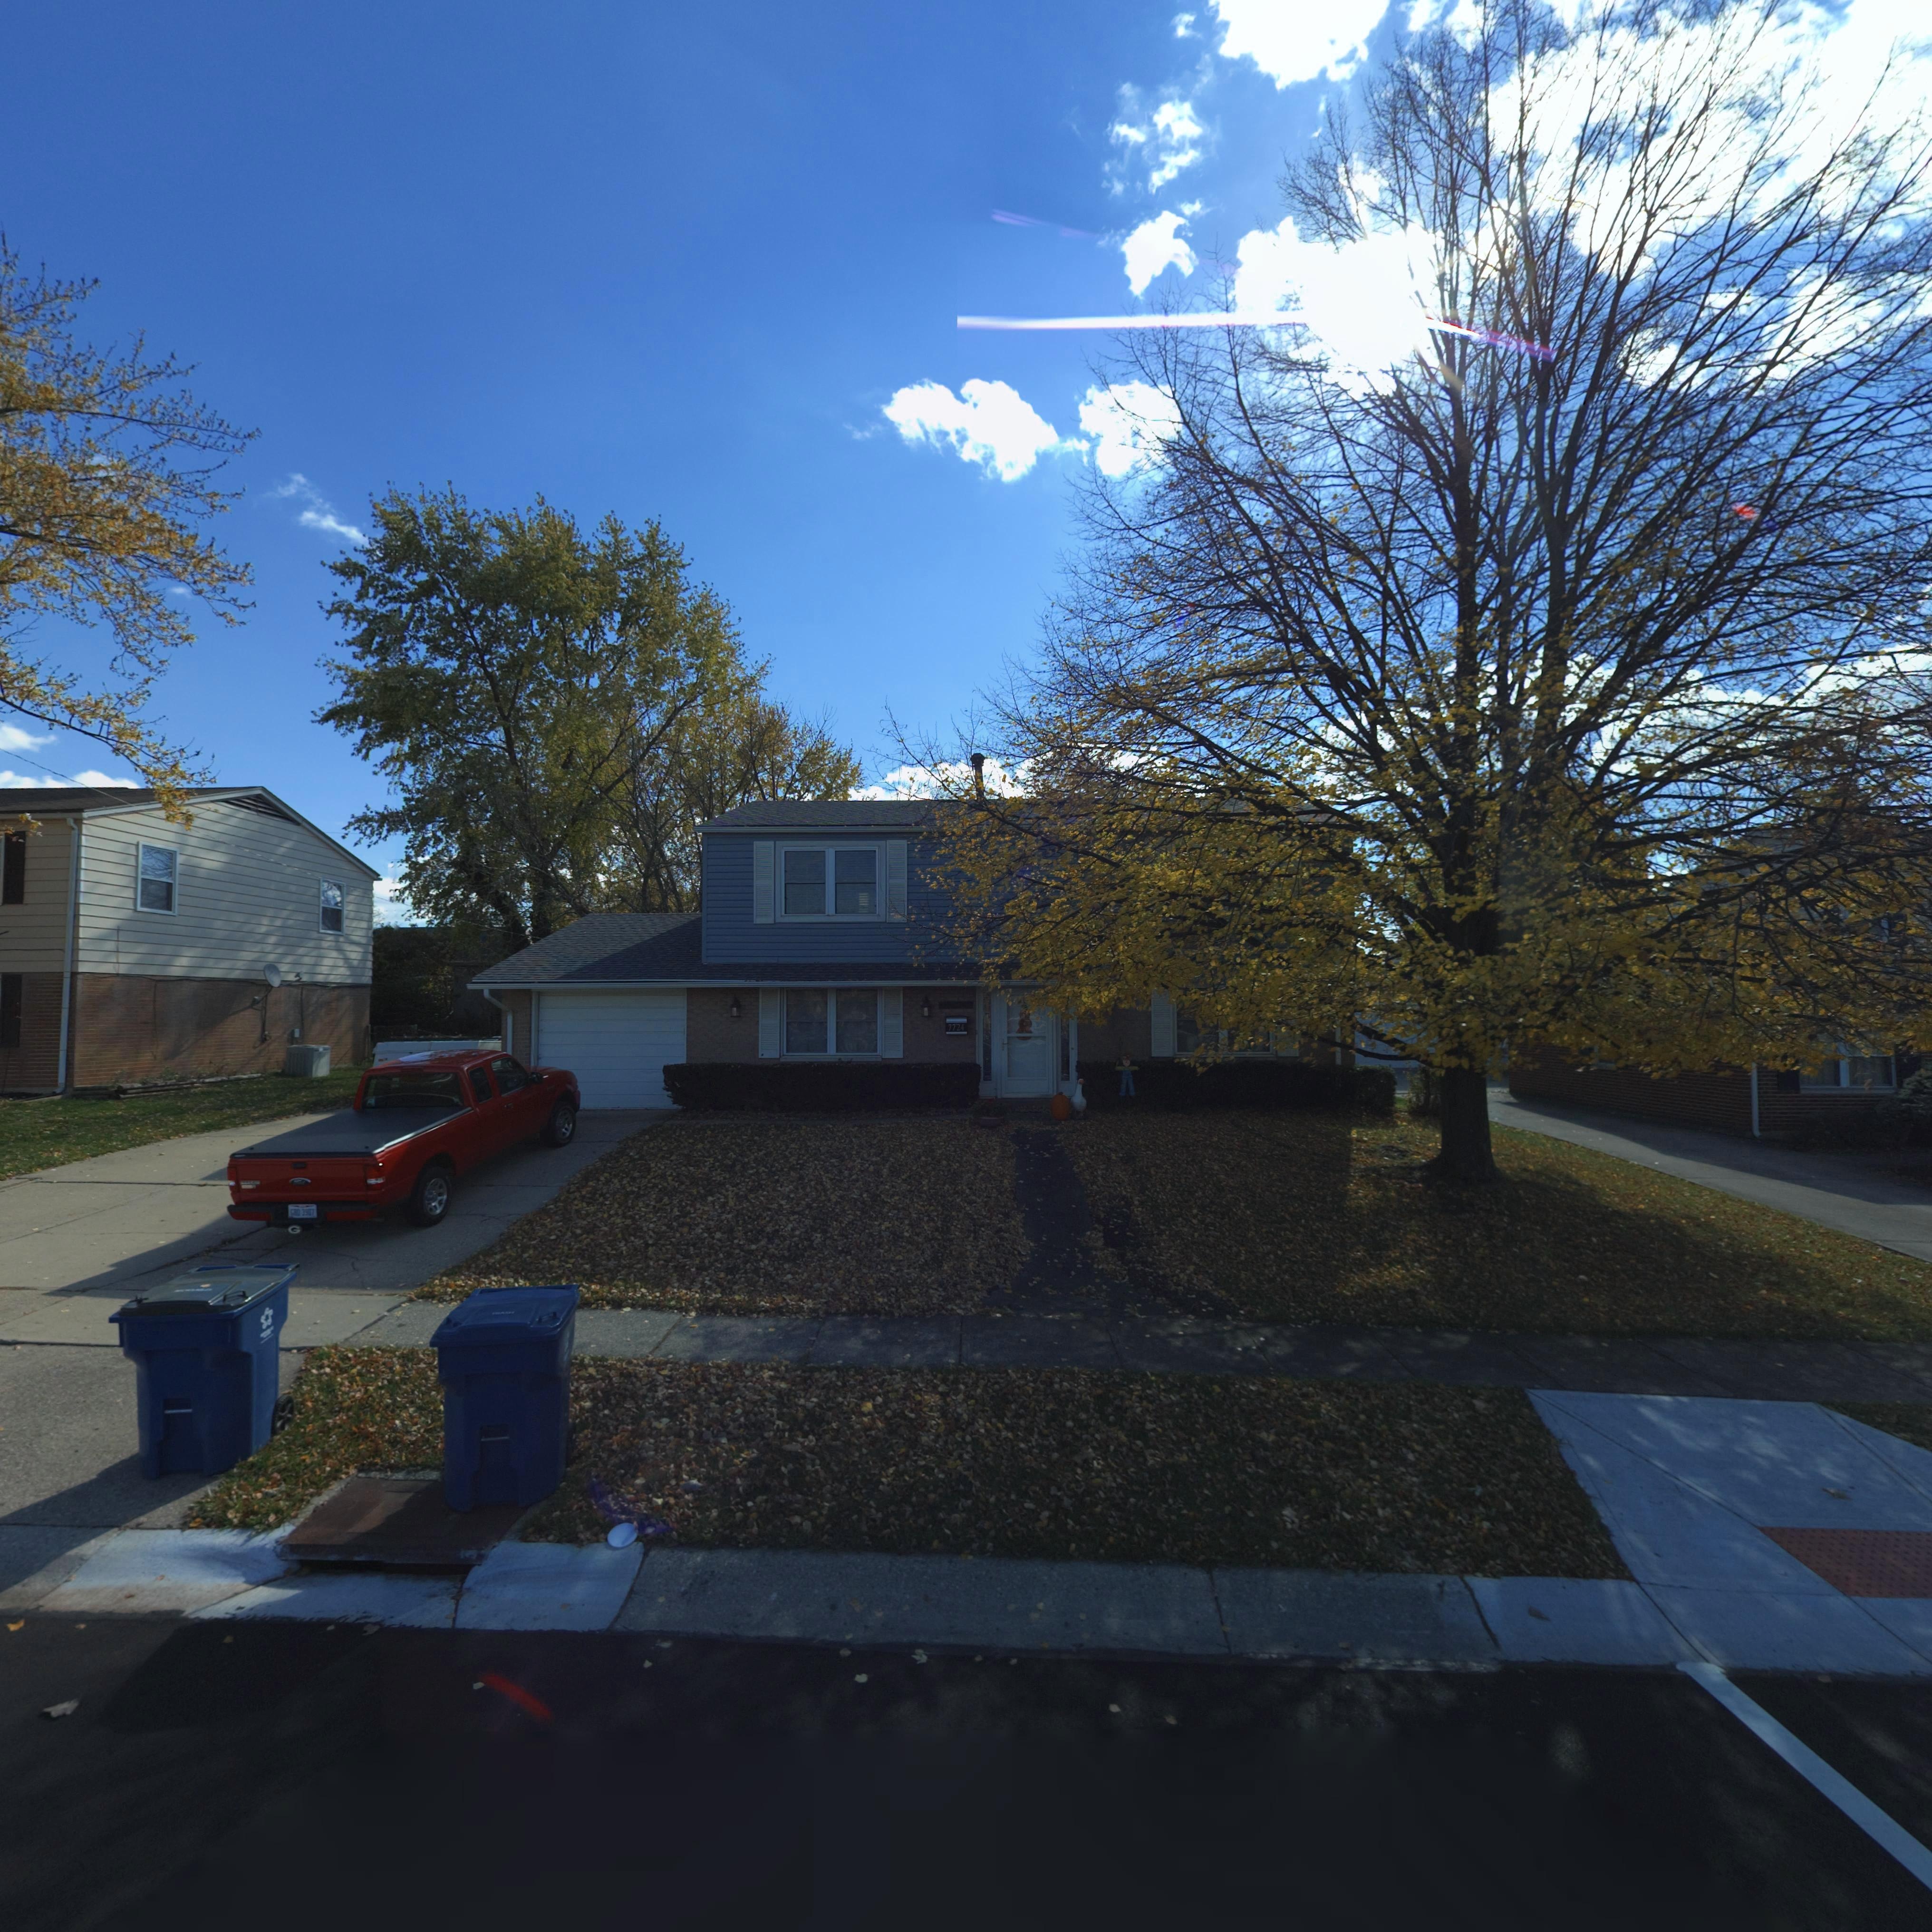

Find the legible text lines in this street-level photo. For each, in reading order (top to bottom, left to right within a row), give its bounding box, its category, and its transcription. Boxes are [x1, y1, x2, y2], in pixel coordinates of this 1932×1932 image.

[947, 1023, 964, 1032] StreetNumber: 7724